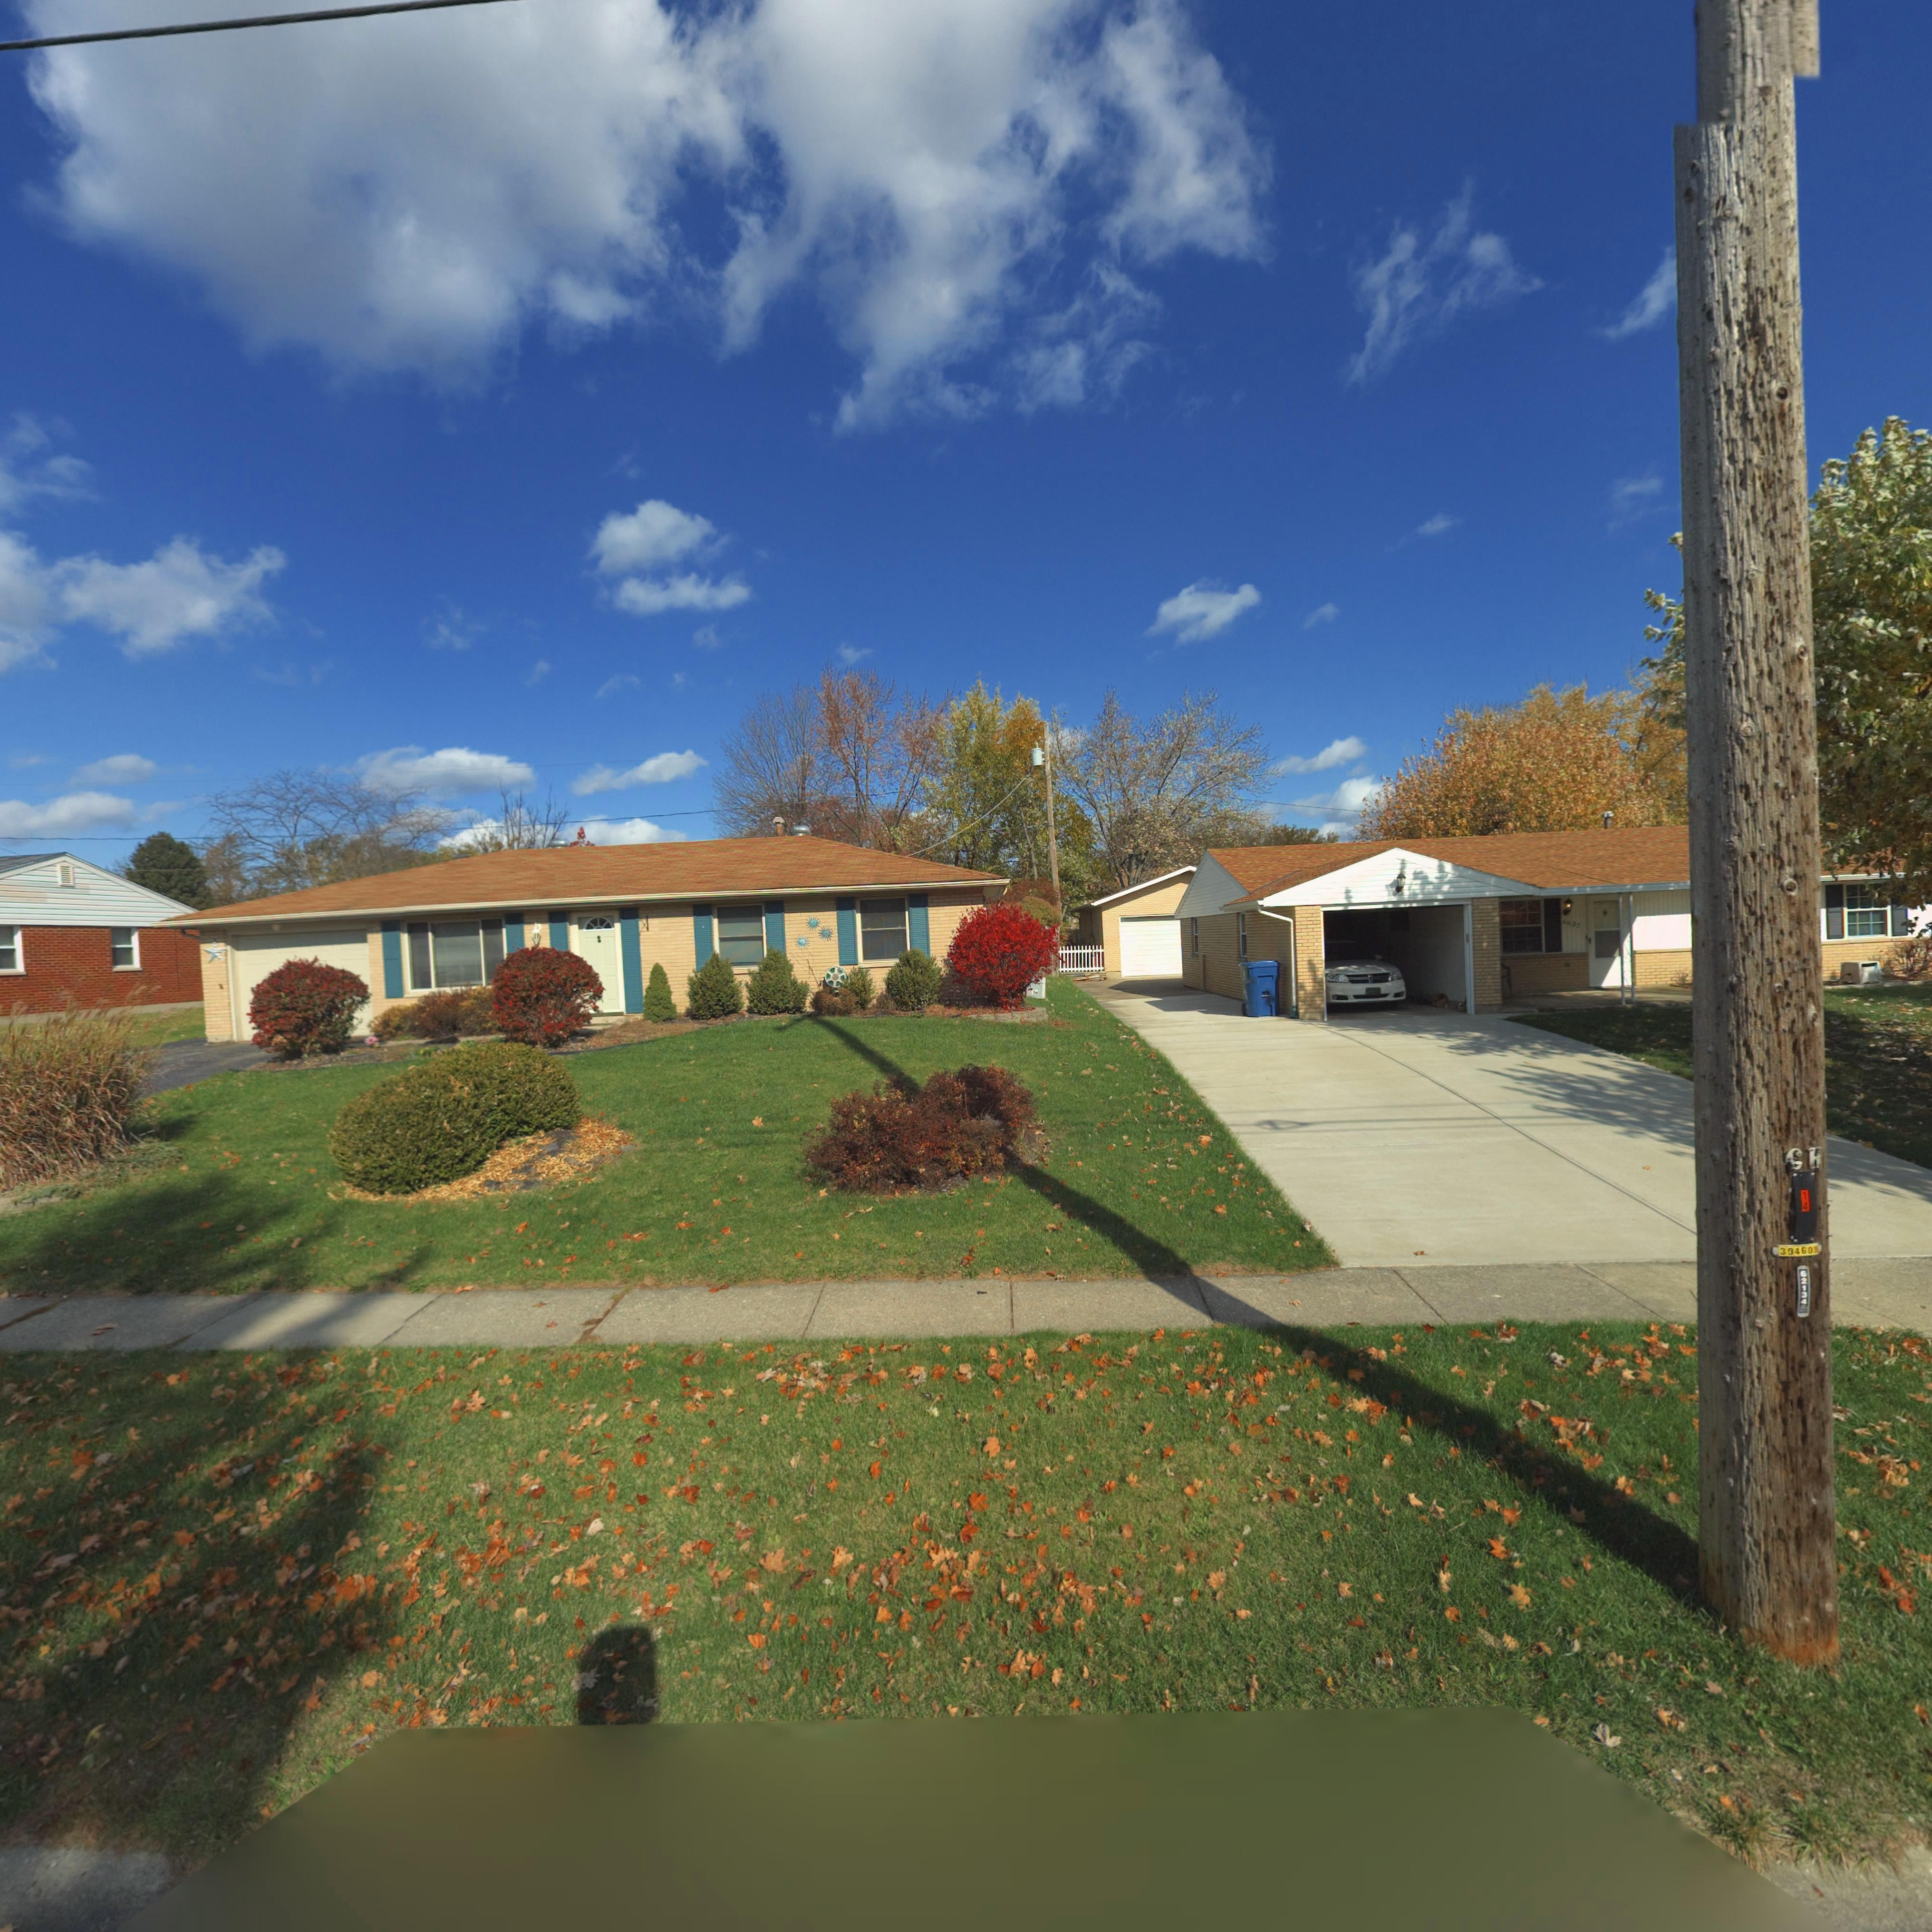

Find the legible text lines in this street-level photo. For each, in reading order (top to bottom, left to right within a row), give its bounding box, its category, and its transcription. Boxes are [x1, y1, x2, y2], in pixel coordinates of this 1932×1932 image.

[1562, 918, 1582, 929] StreetNumber: 6637